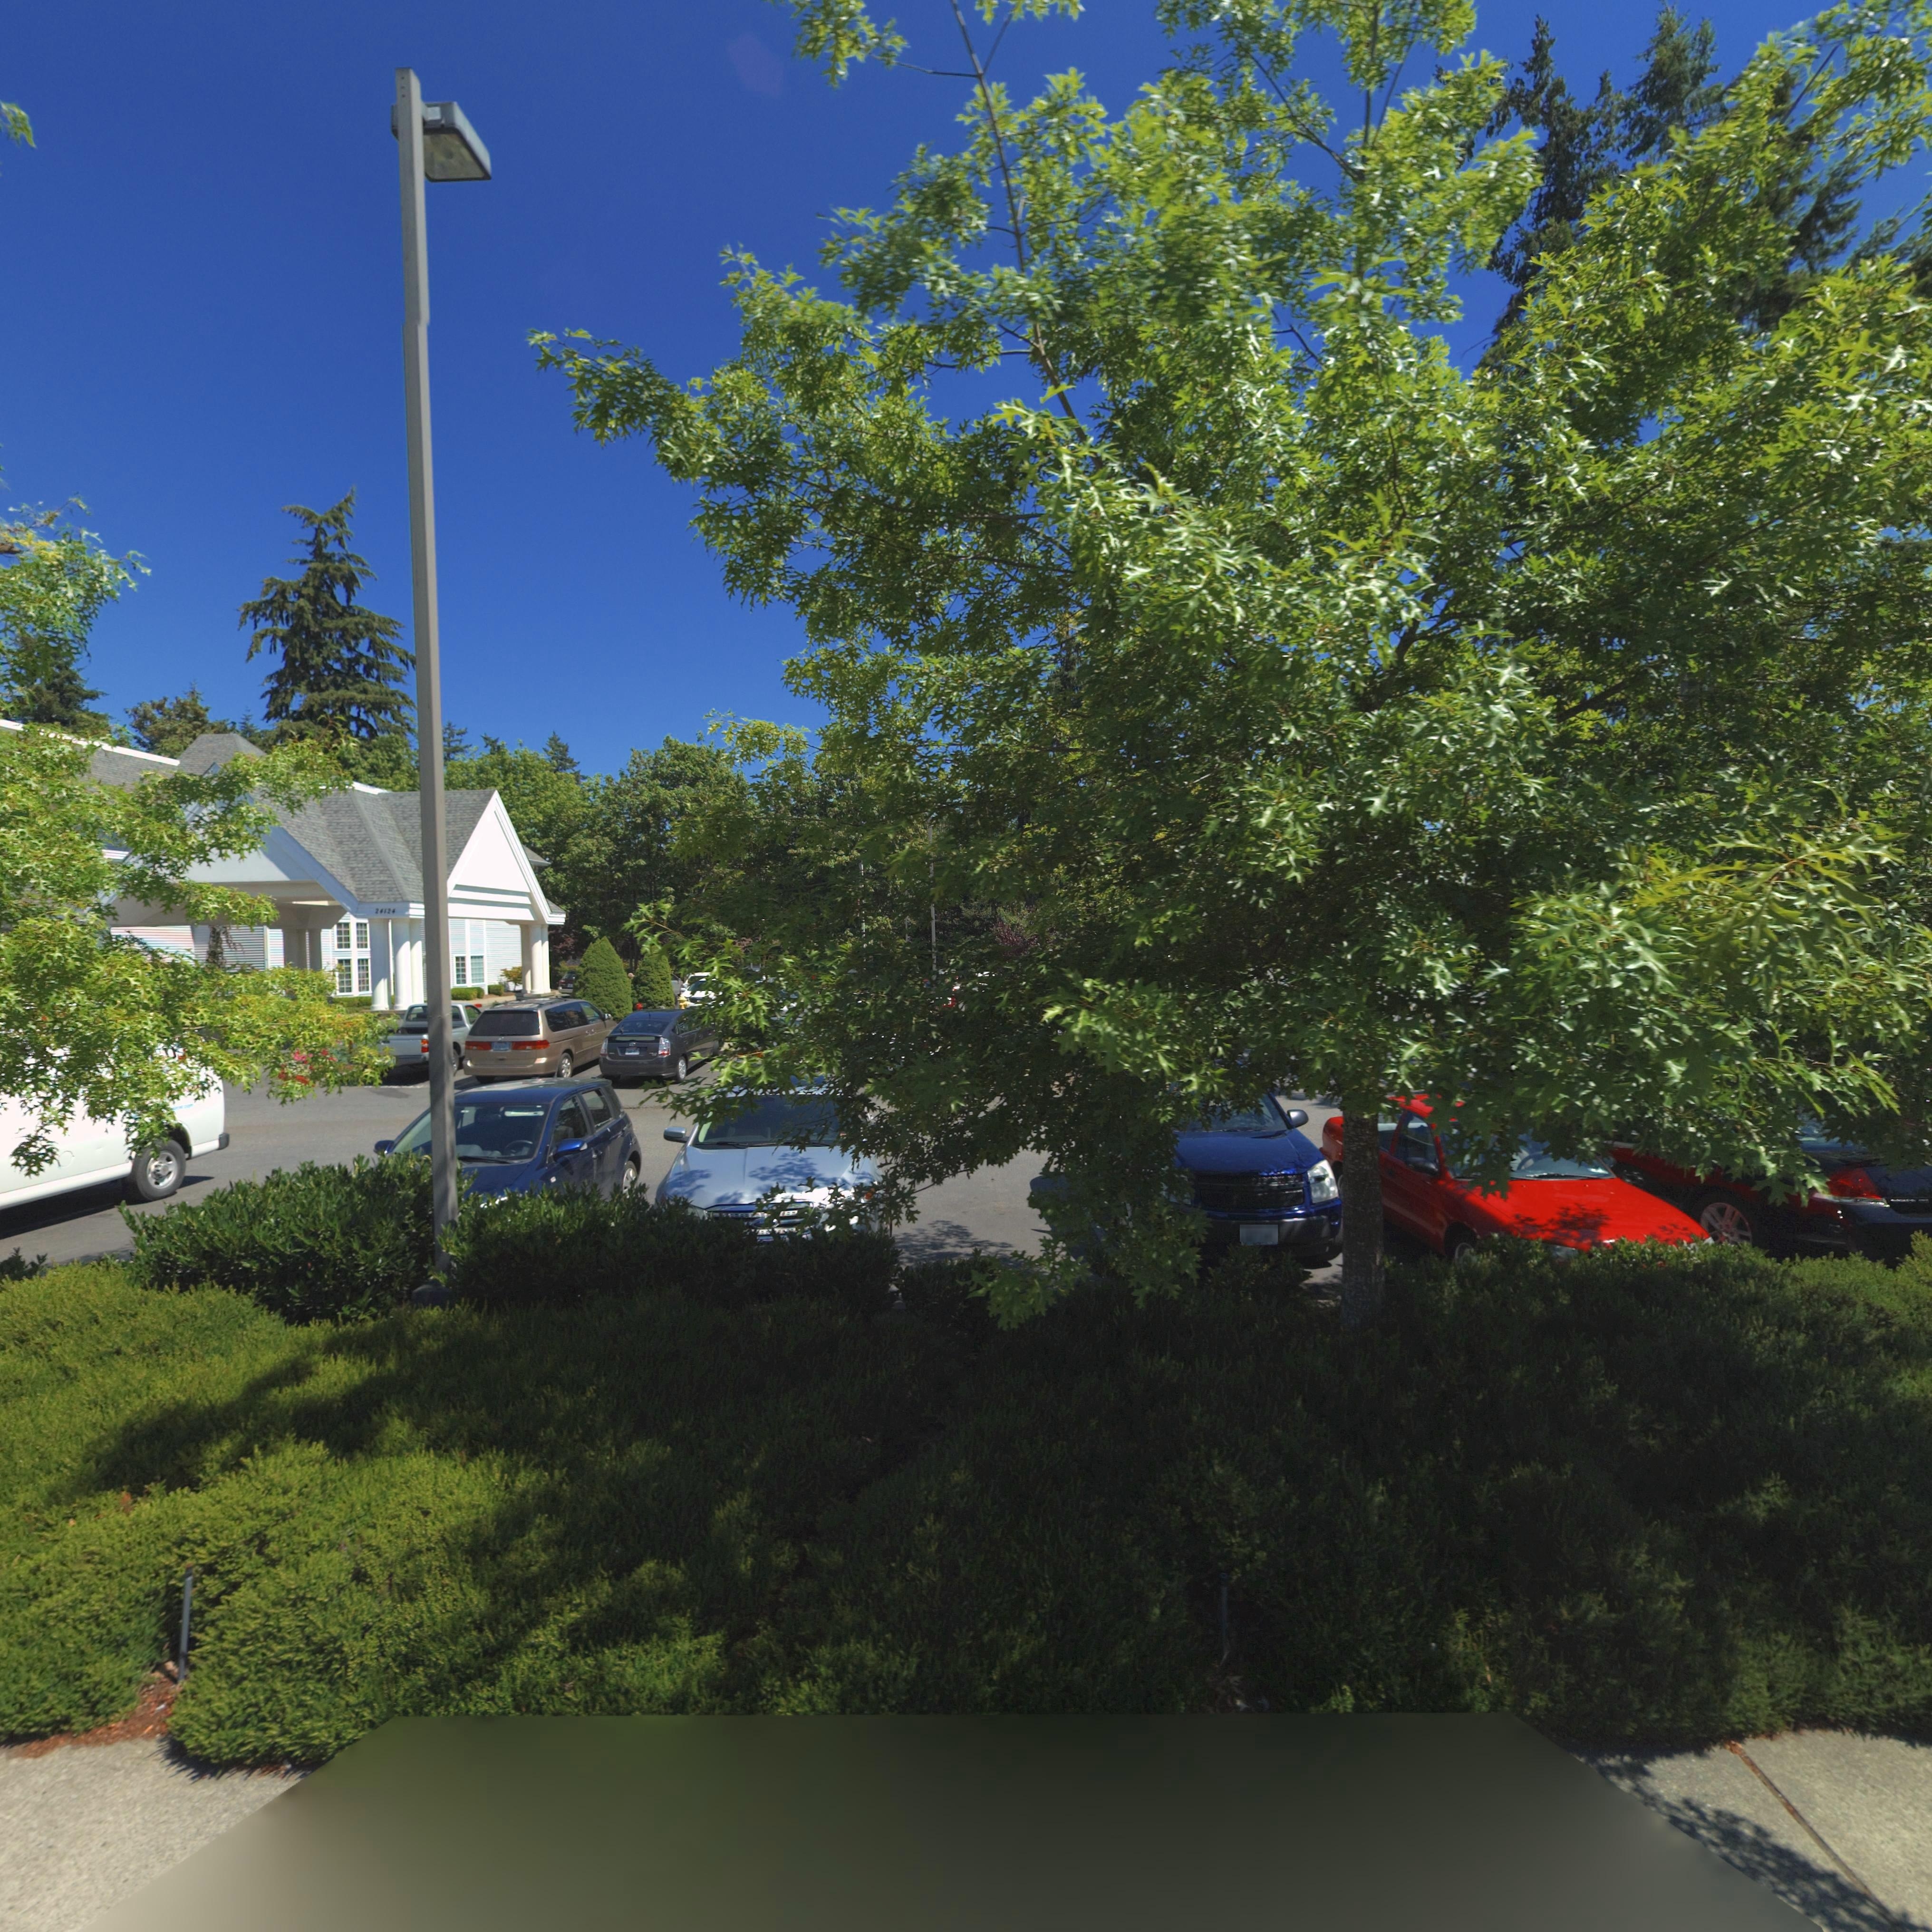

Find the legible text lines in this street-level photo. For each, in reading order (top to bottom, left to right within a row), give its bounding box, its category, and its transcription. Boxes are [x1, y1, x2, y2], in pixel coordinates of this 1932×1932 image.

[375, 908, 396, 915] StreetNumber: 24124